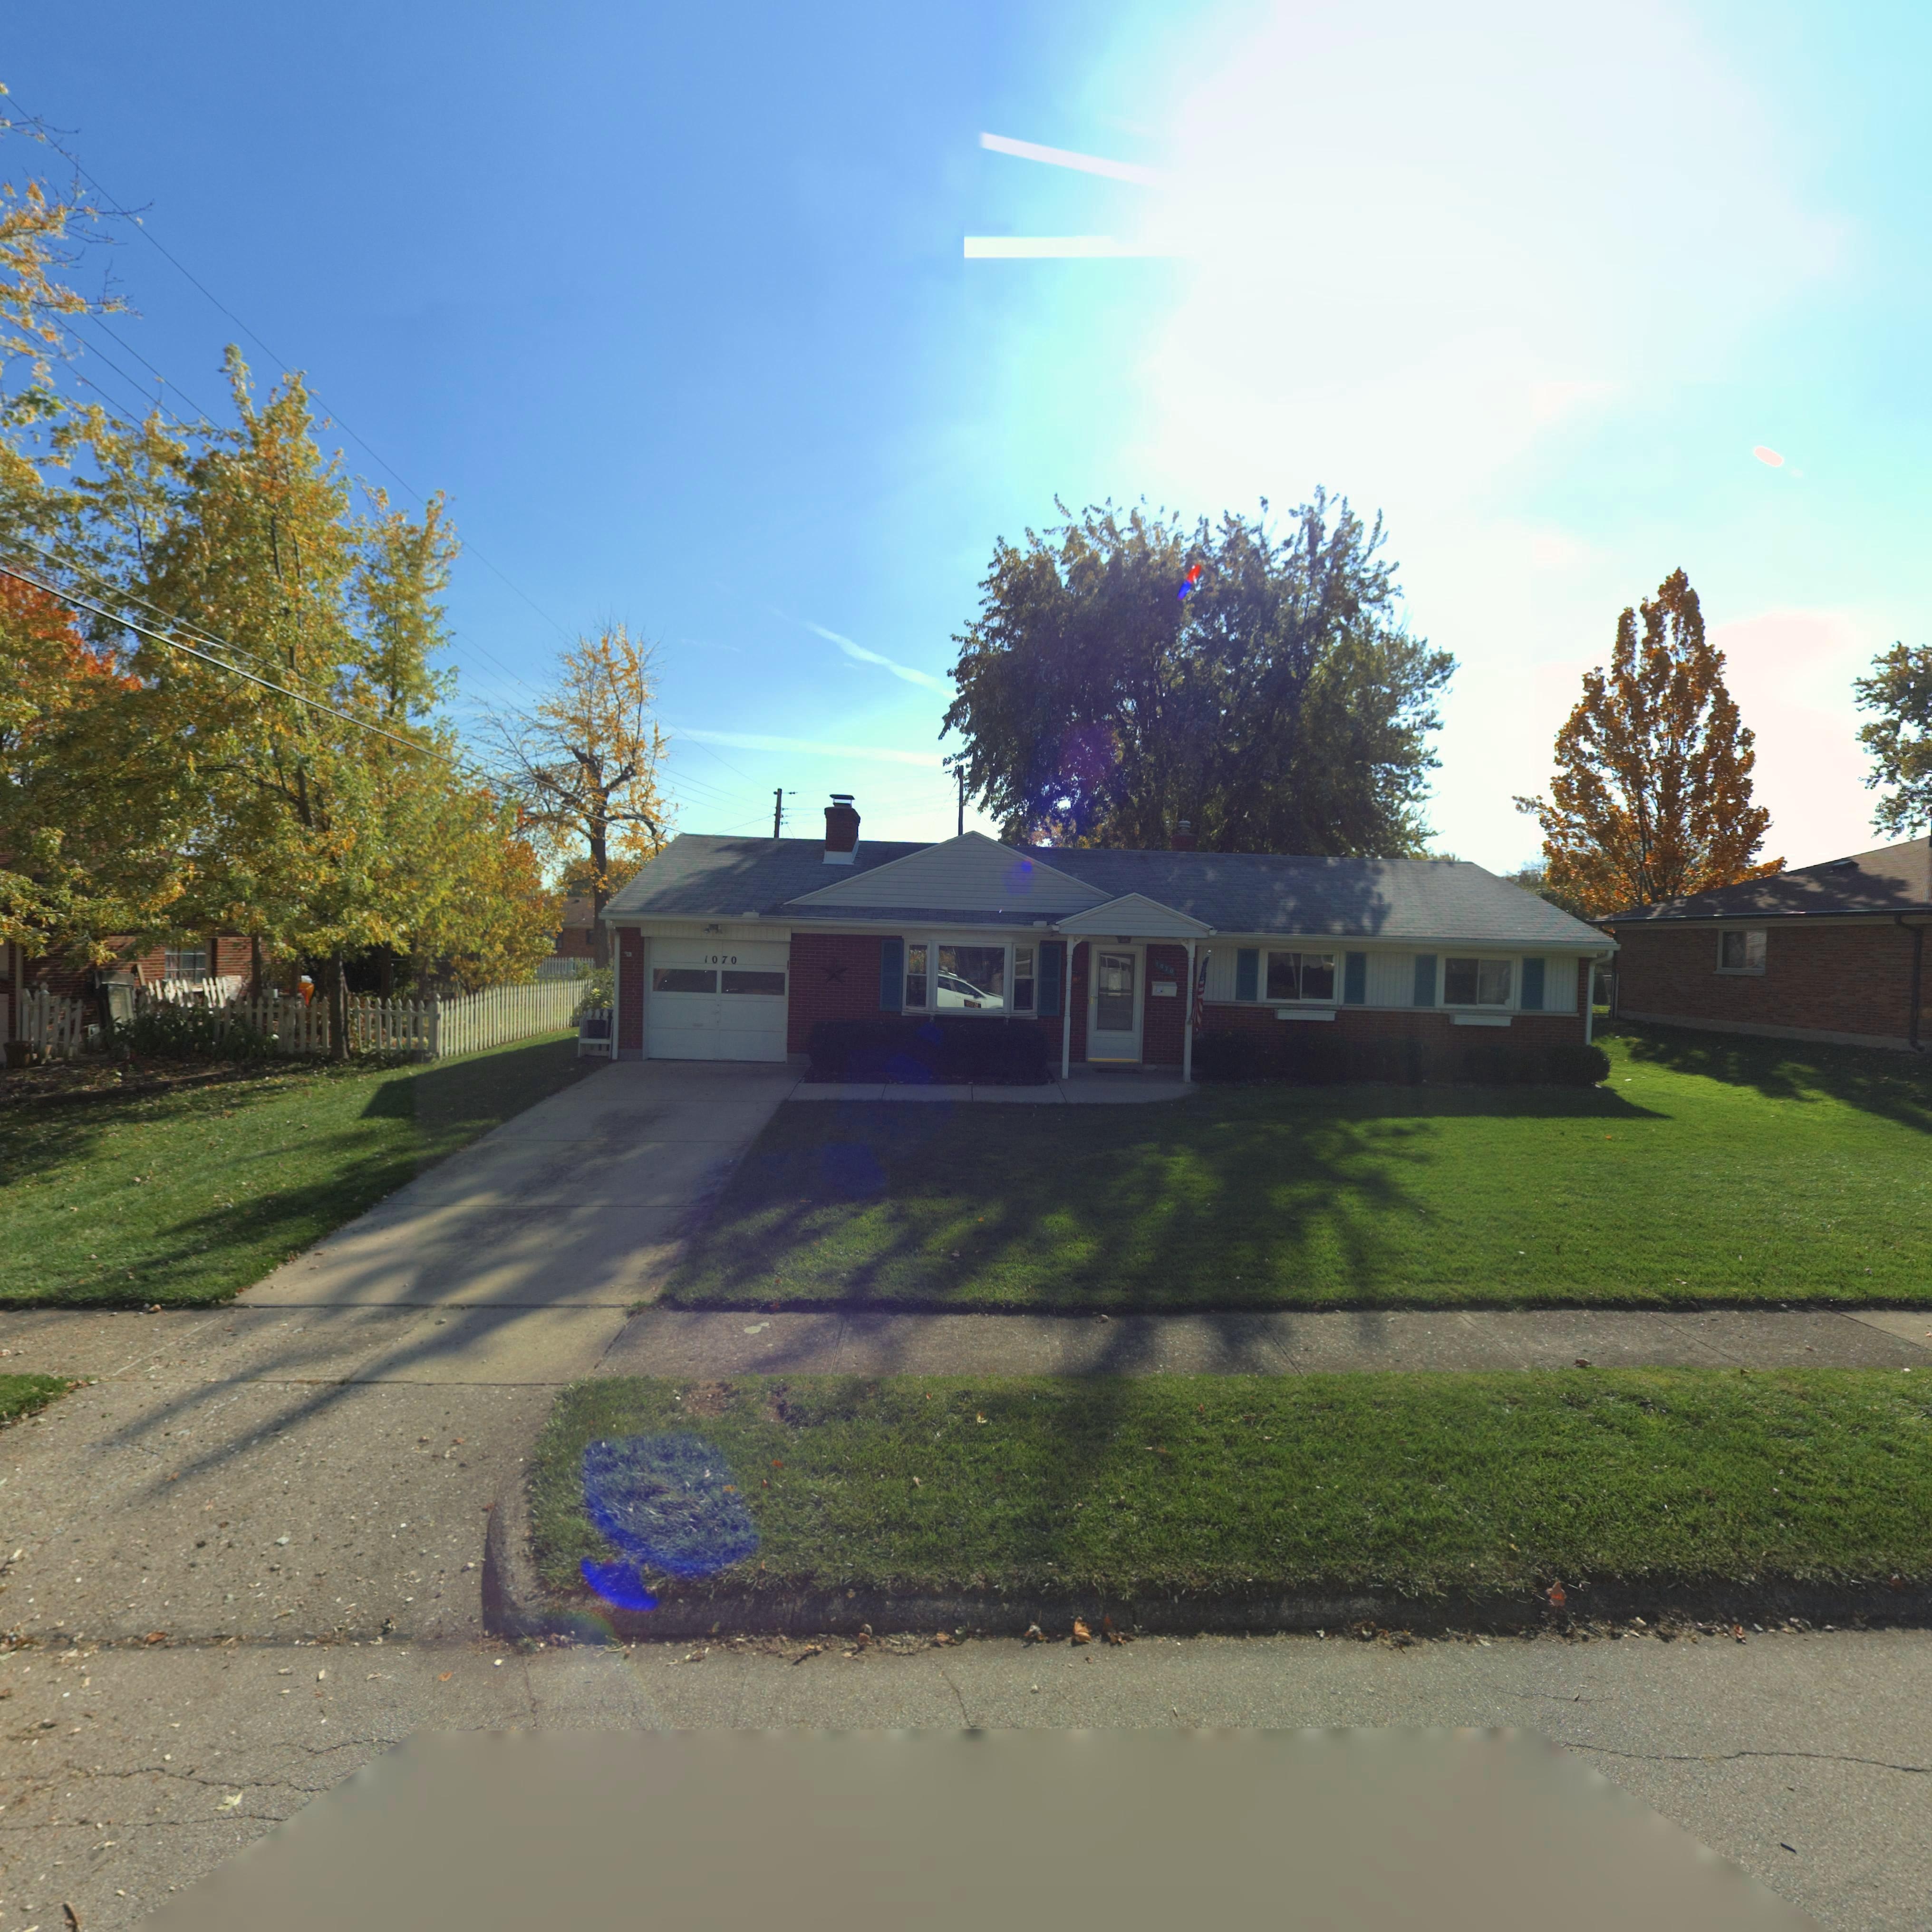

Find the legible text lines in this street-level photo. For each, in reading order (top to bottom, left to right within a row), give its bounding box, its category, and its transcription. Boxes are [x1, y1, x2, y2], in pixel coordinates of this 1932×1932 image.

[704, 954, 736, 965] StreetNumber: 1070
[1155, 960, 1174, 975] StreetNumber: 1070